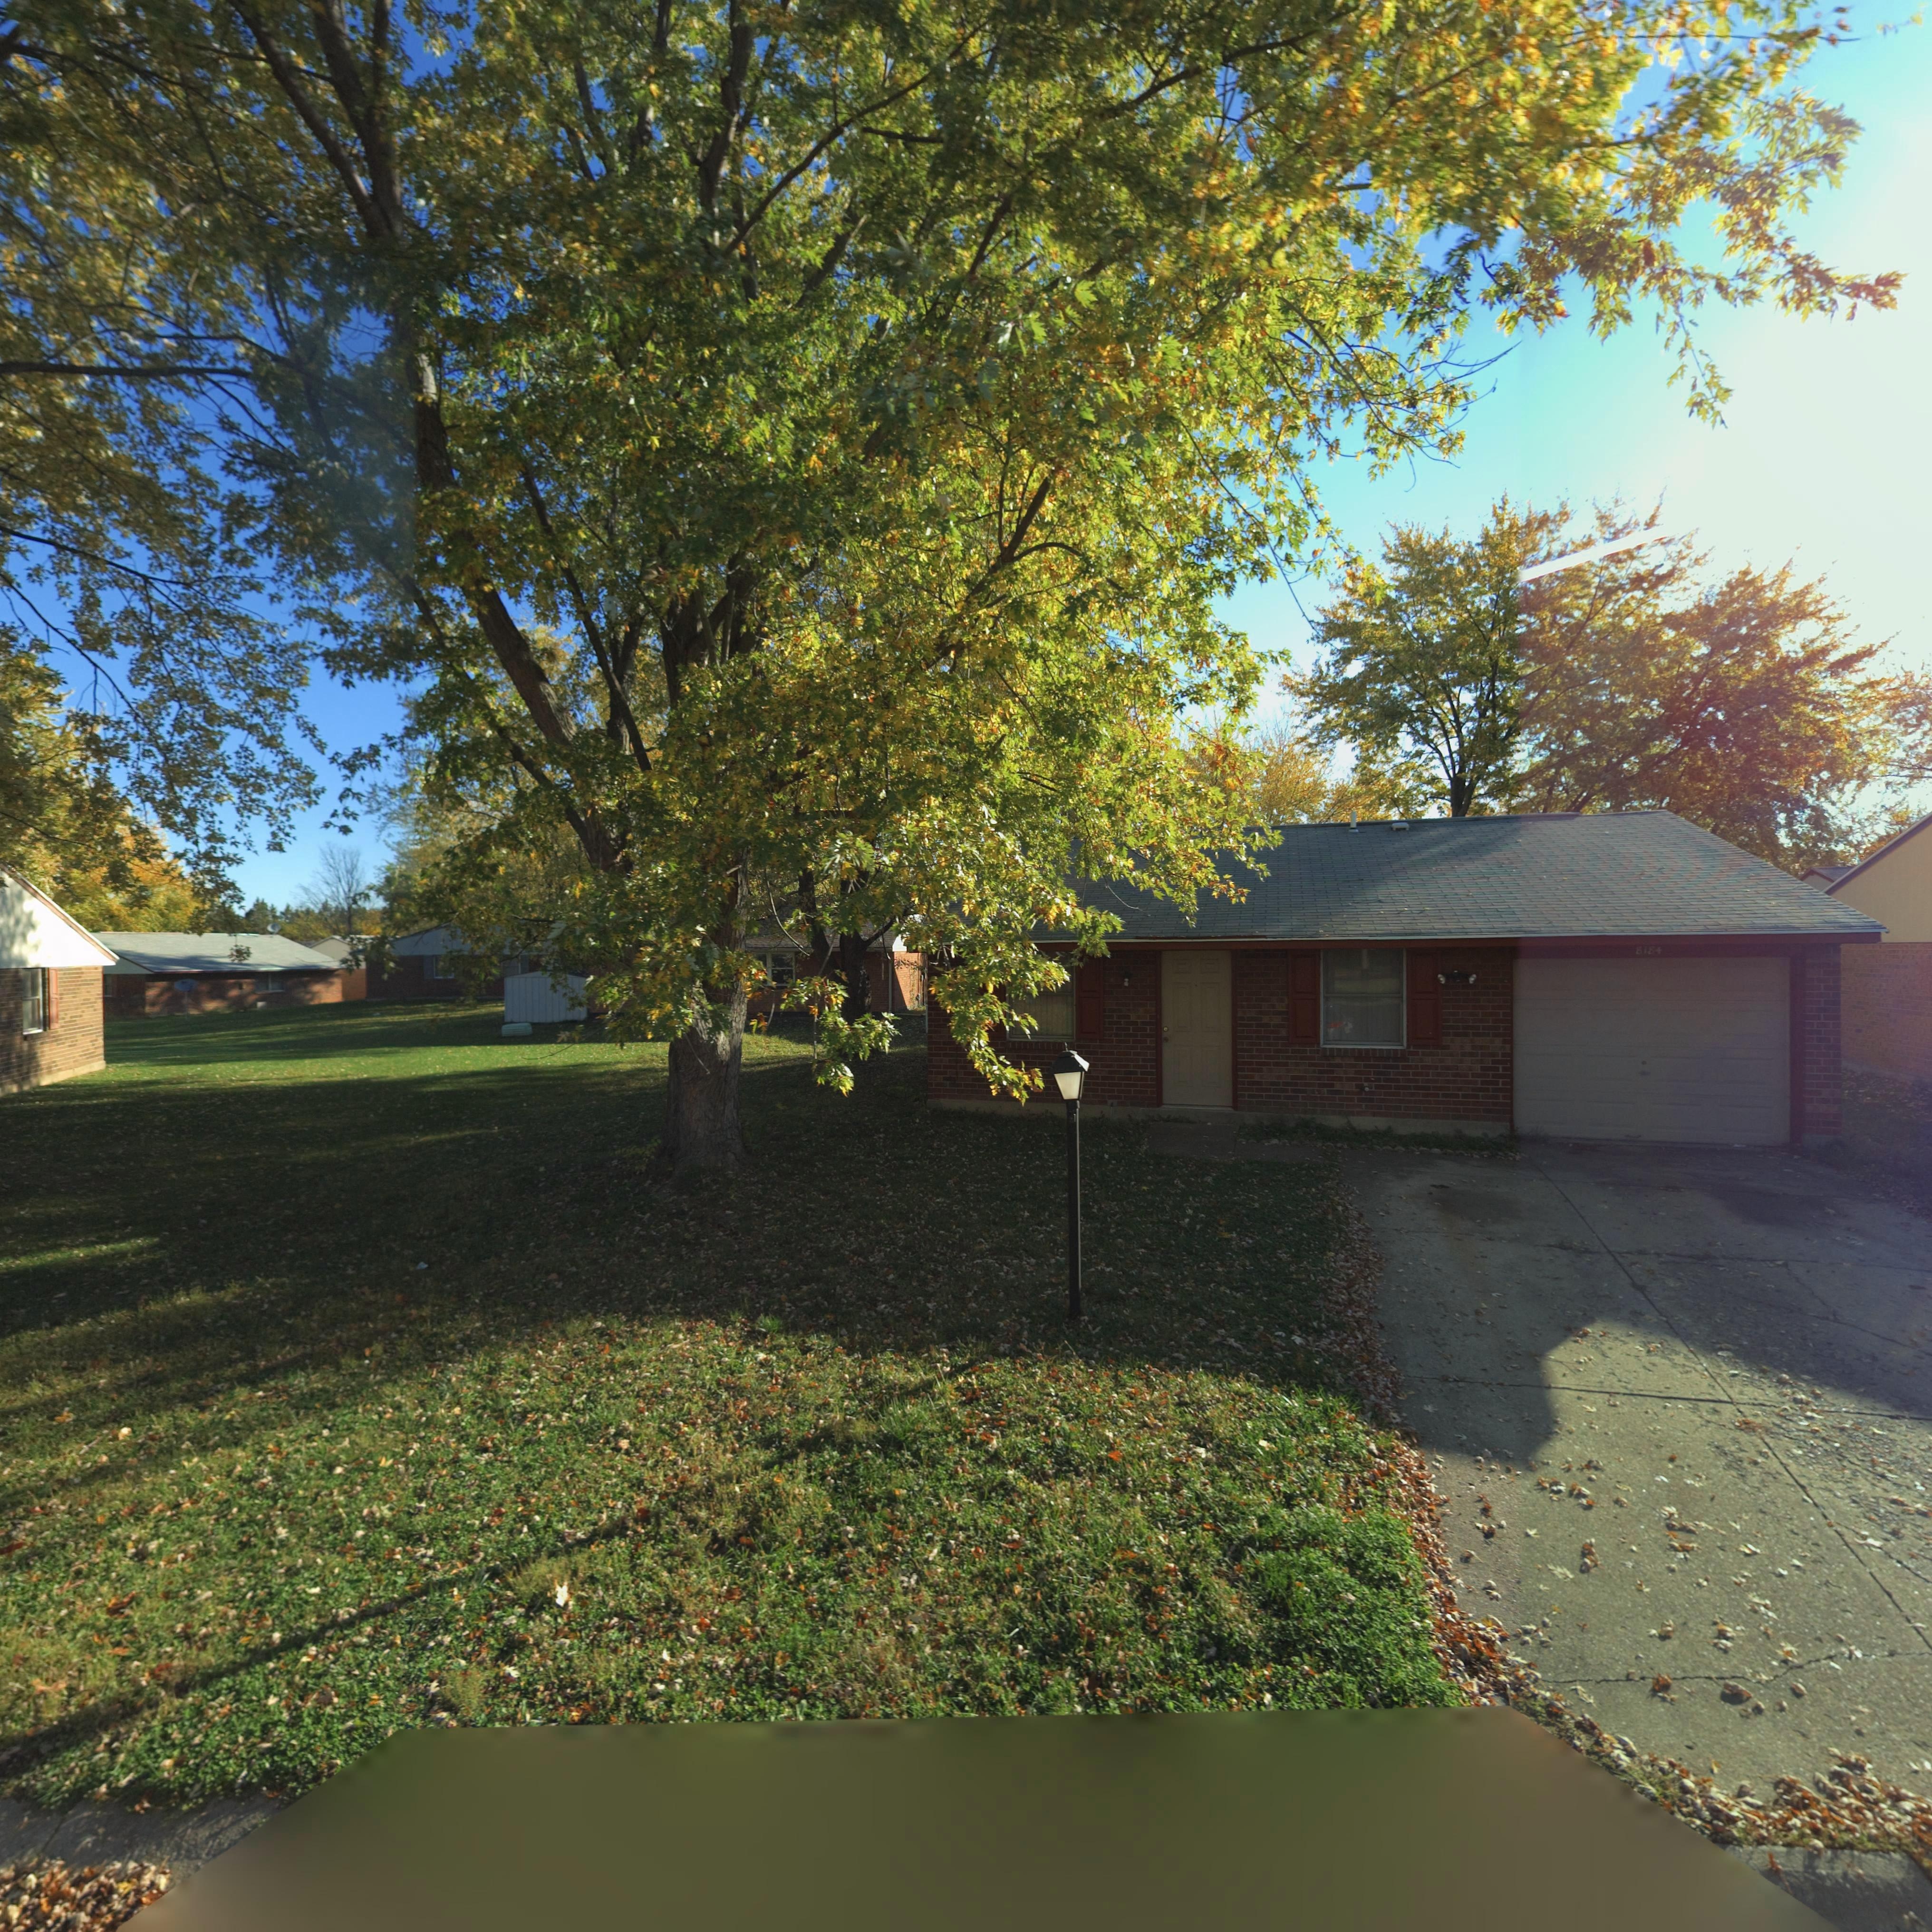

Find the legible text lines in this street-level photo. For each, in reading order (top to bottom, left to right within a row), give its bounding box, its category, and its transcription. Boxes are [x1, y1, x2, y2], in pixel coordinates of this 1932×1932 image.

[1634, 945, 1662, 956] StreetNumber: 8184